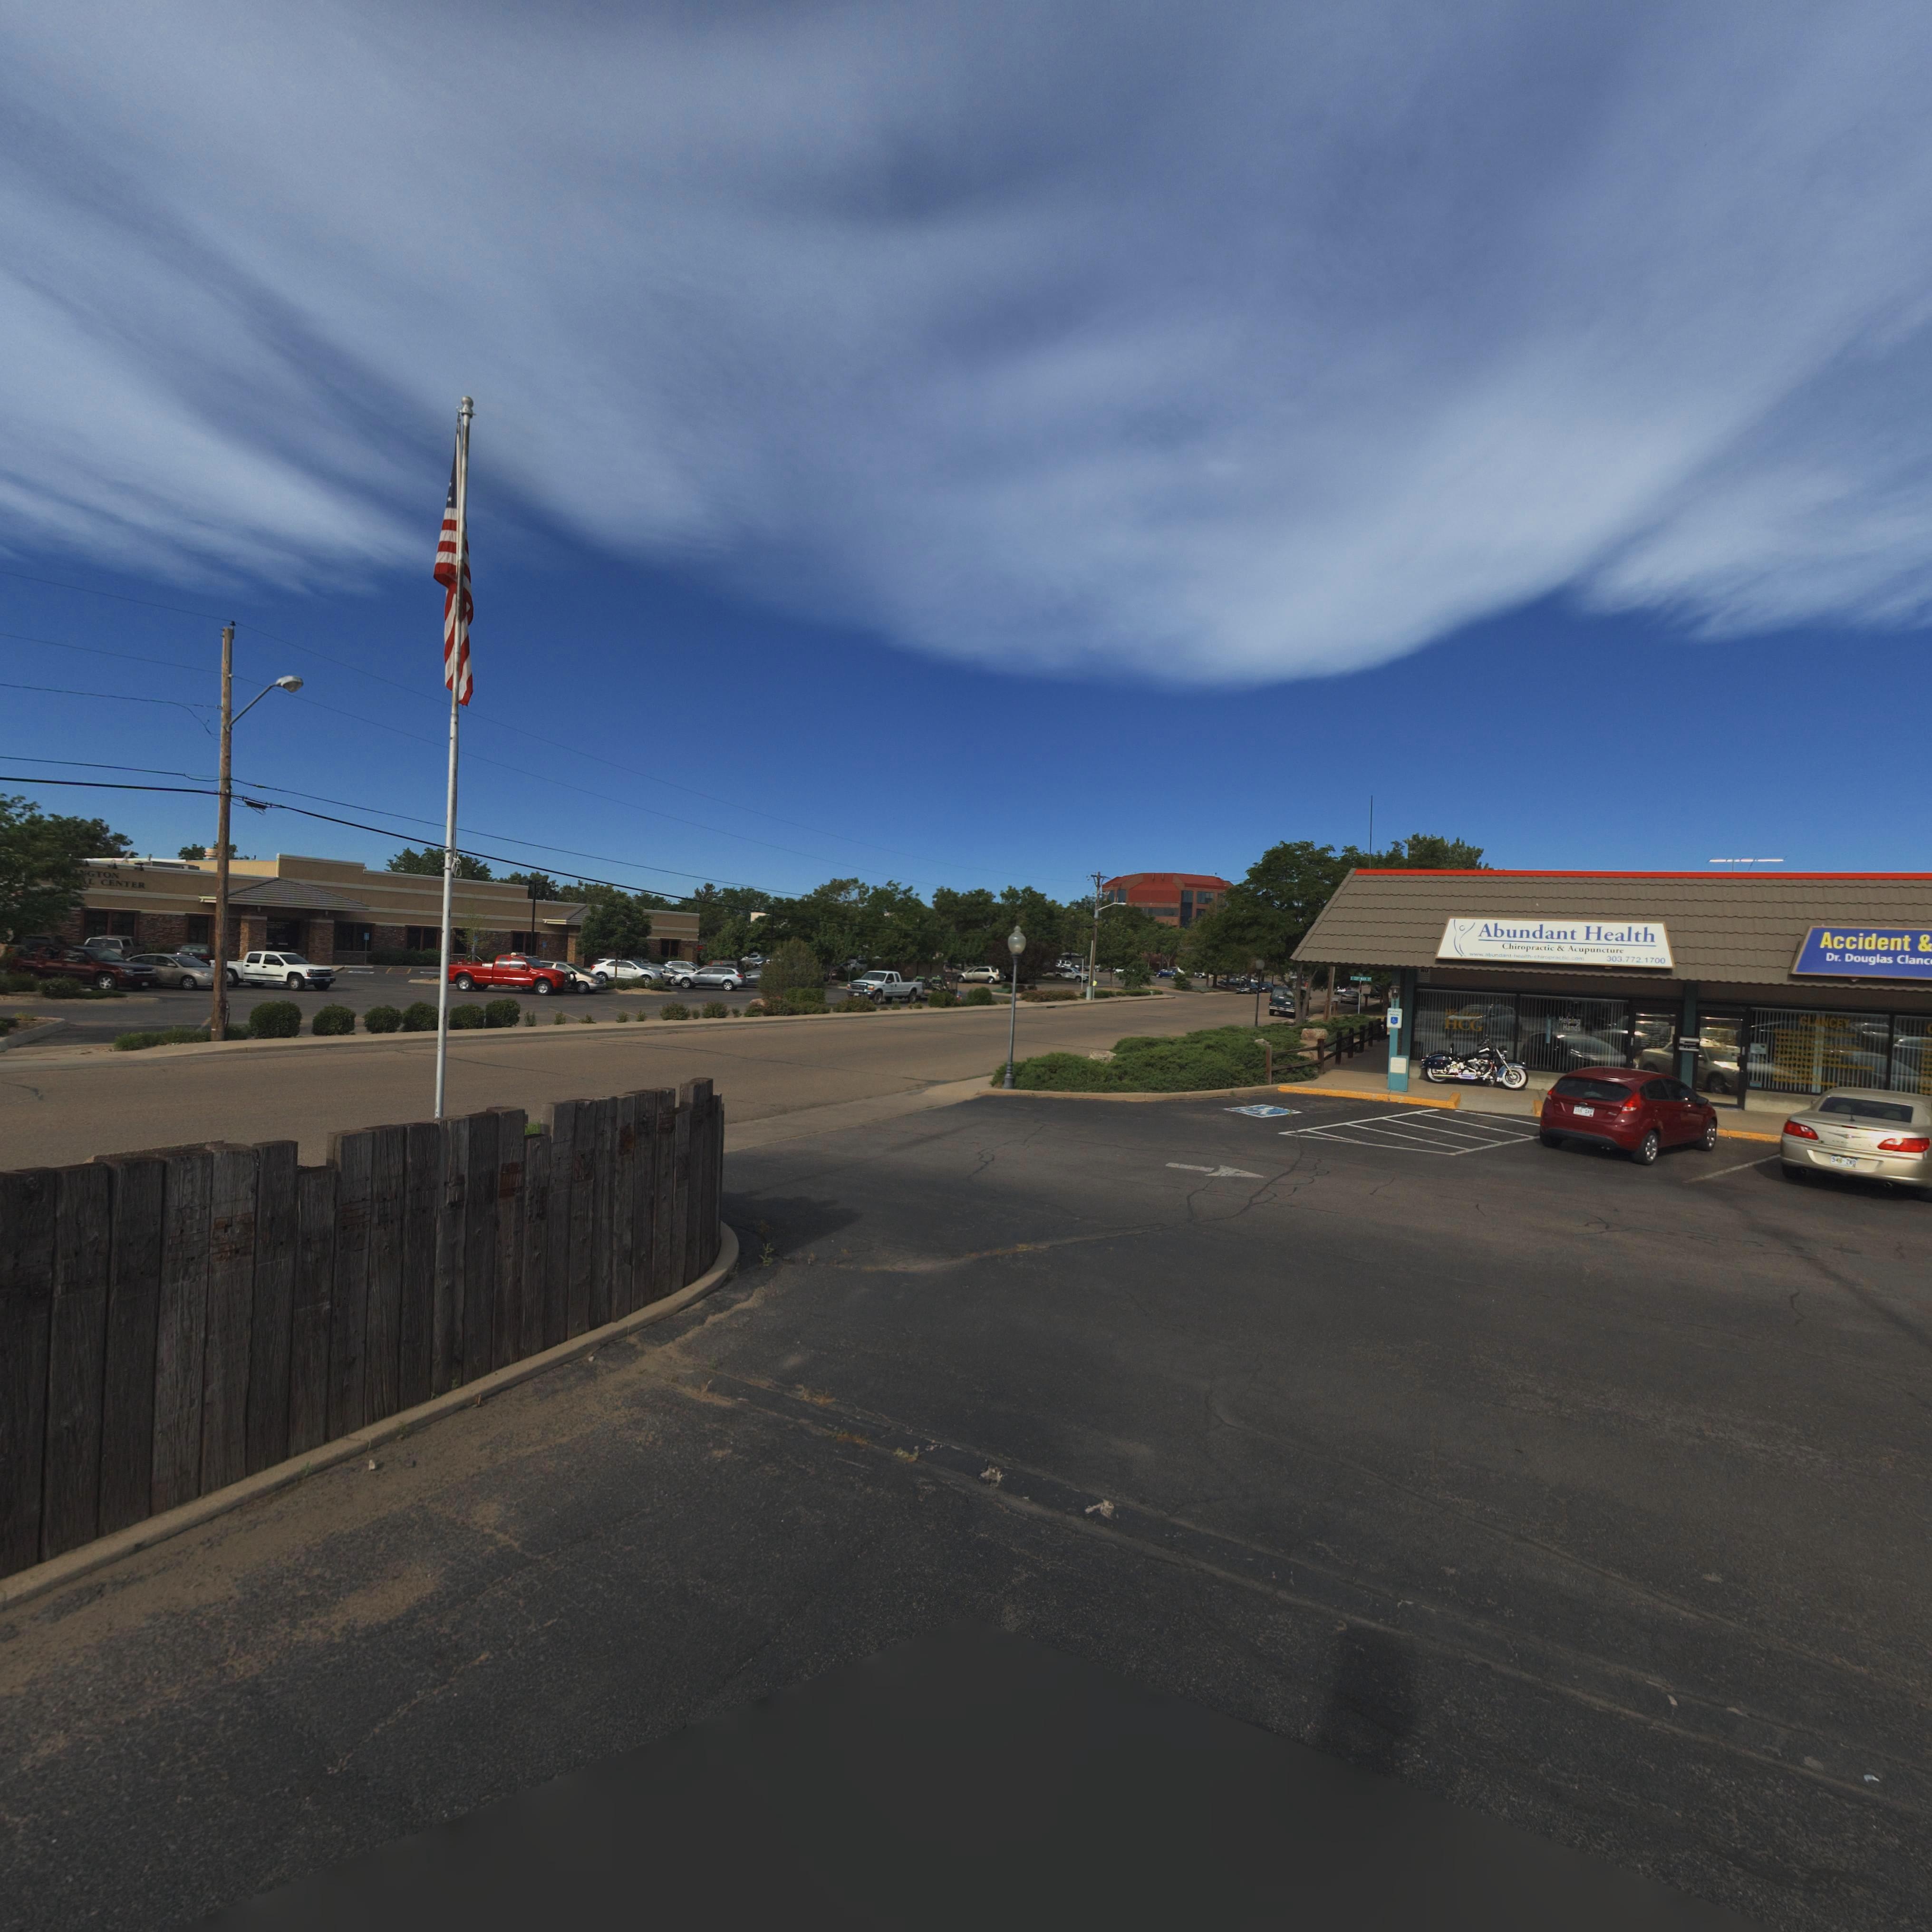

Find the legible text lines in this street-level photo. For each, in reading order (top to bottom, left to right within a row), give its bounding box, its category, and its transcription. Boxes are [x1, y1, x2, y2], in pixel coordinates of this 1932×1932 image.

[79, 869, 120, 879] BusinessName: *GTON
[87, 878, 145, 889] BusinessName: L CENTER
[1477, 922, 1655, 943] BusinessName: Abundant Health
[1818, 931, 1913, 953] BusinessName: Accident